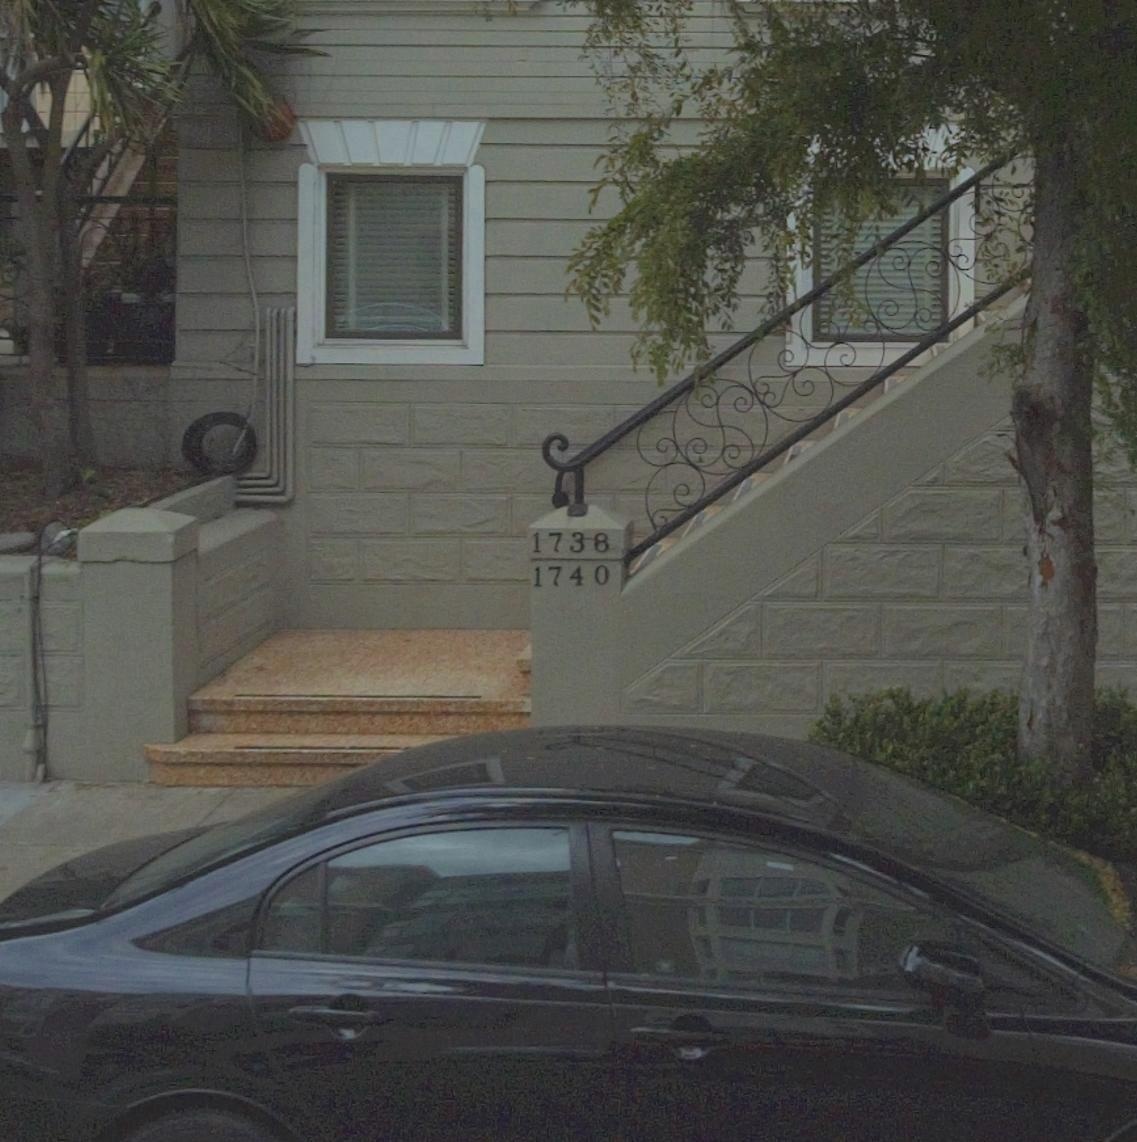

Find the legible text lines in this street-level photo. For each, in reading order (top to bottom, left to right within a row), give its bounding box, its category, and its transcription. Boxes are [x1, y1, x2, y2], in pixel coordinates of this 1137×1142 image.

[531, 530, 611, 555] StreetNumber: 1738
[532, 563, 609, 589] StreetNumber: 1740